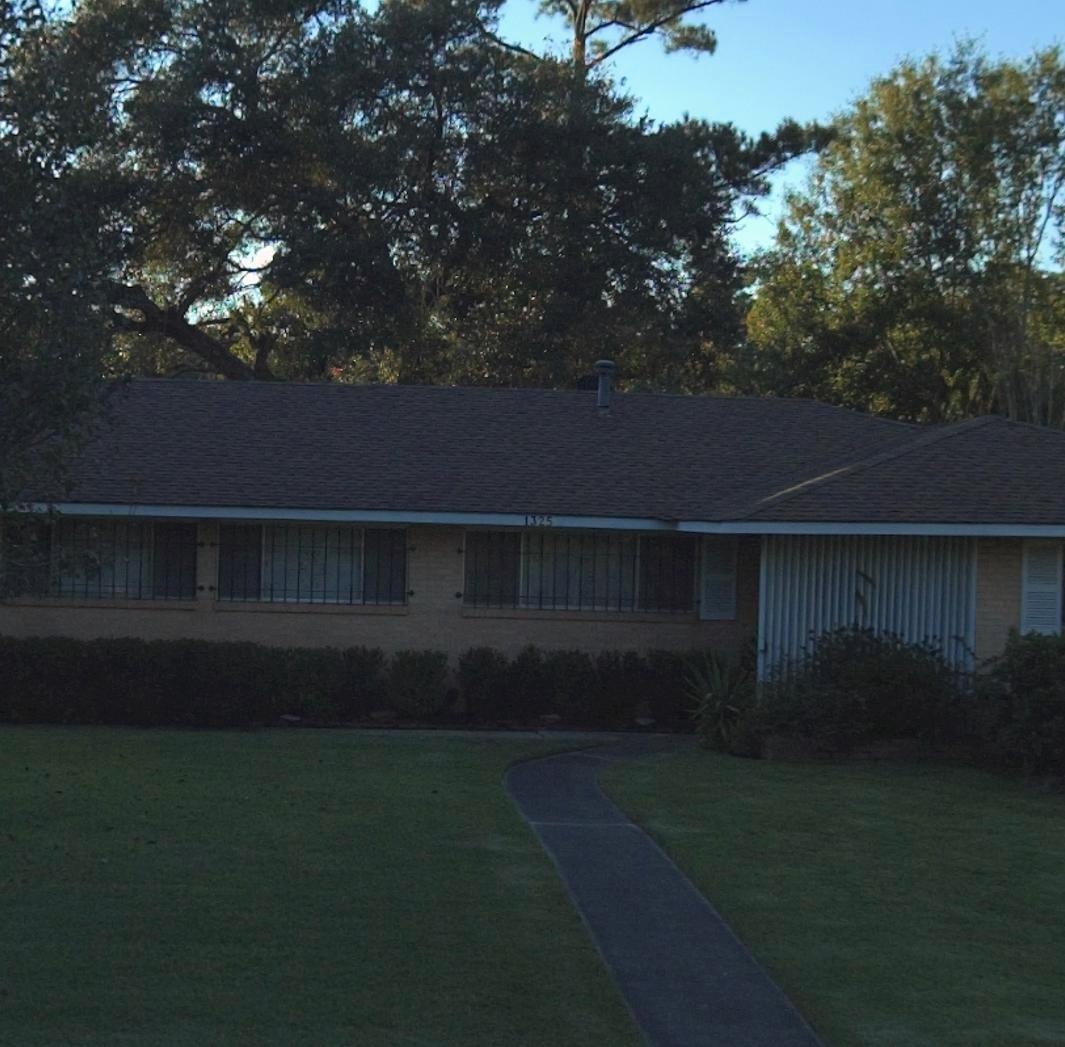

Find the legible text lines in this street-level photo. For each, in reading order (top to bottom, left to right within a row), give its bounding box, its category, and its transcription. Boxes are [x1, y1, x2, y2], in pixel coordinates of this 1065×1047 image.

[522, 514, 553, 528] StreetNumber: 1325